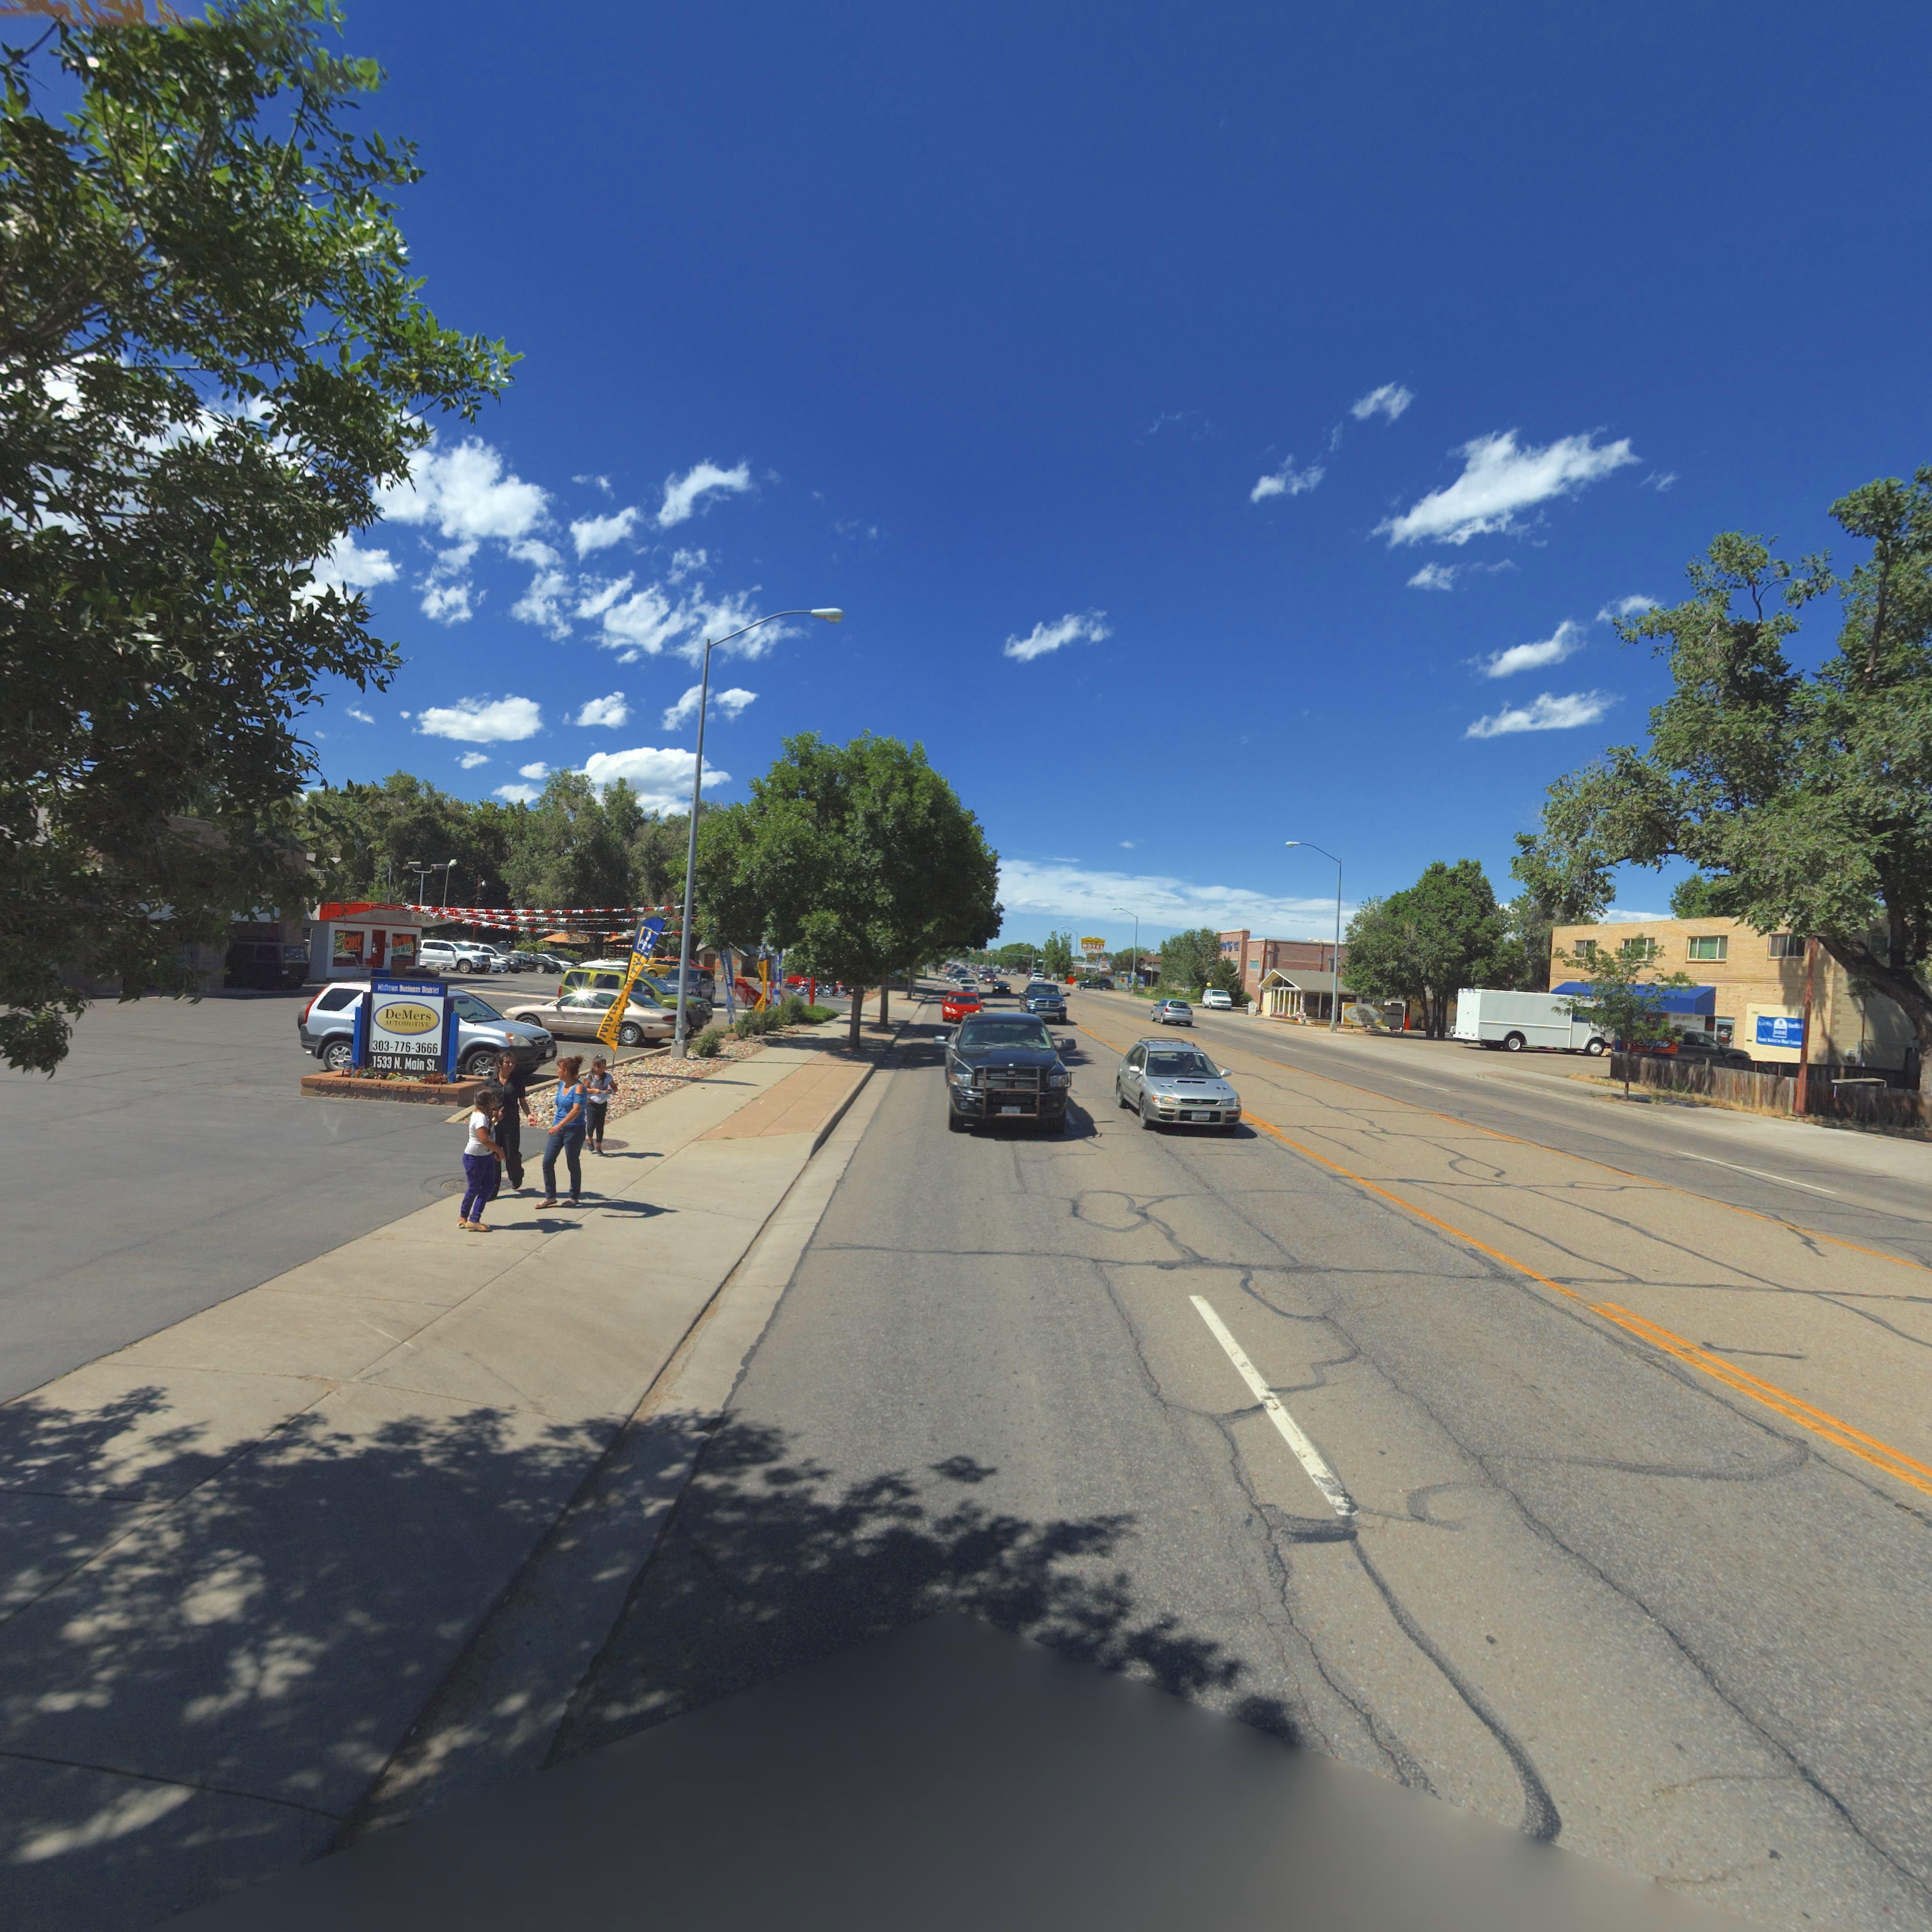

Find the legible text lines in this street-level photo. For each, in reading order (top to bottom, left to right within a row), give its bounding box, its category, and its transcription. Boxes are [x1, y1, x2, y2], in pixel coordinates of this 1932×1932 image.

[414, 915, 444, 922] BusinessName: V*STA AUTO **
[1082, 943, 1103, 949] BusinessName: MOTEL
[1082, 938, 1105, 944] BusinessName: L**********
[384, 1020, 430, 1027] BusinessName: AUTOMOTIVE
[385, 1008, 431, 1020] BusinessName: DeMers
[1351, 1017, 1376, 1022] BusinessName: INN & RV PARK
[1346, 1005, 1383, 1017] BusinessName: C***tr*****
[1636, 1034, 1671, 1051] BusinessName: *igns
[372, 1055, 393, 1069] StreetNumber: 1533
[393, 1056, 438, 1072] StreetName: N. Main St.